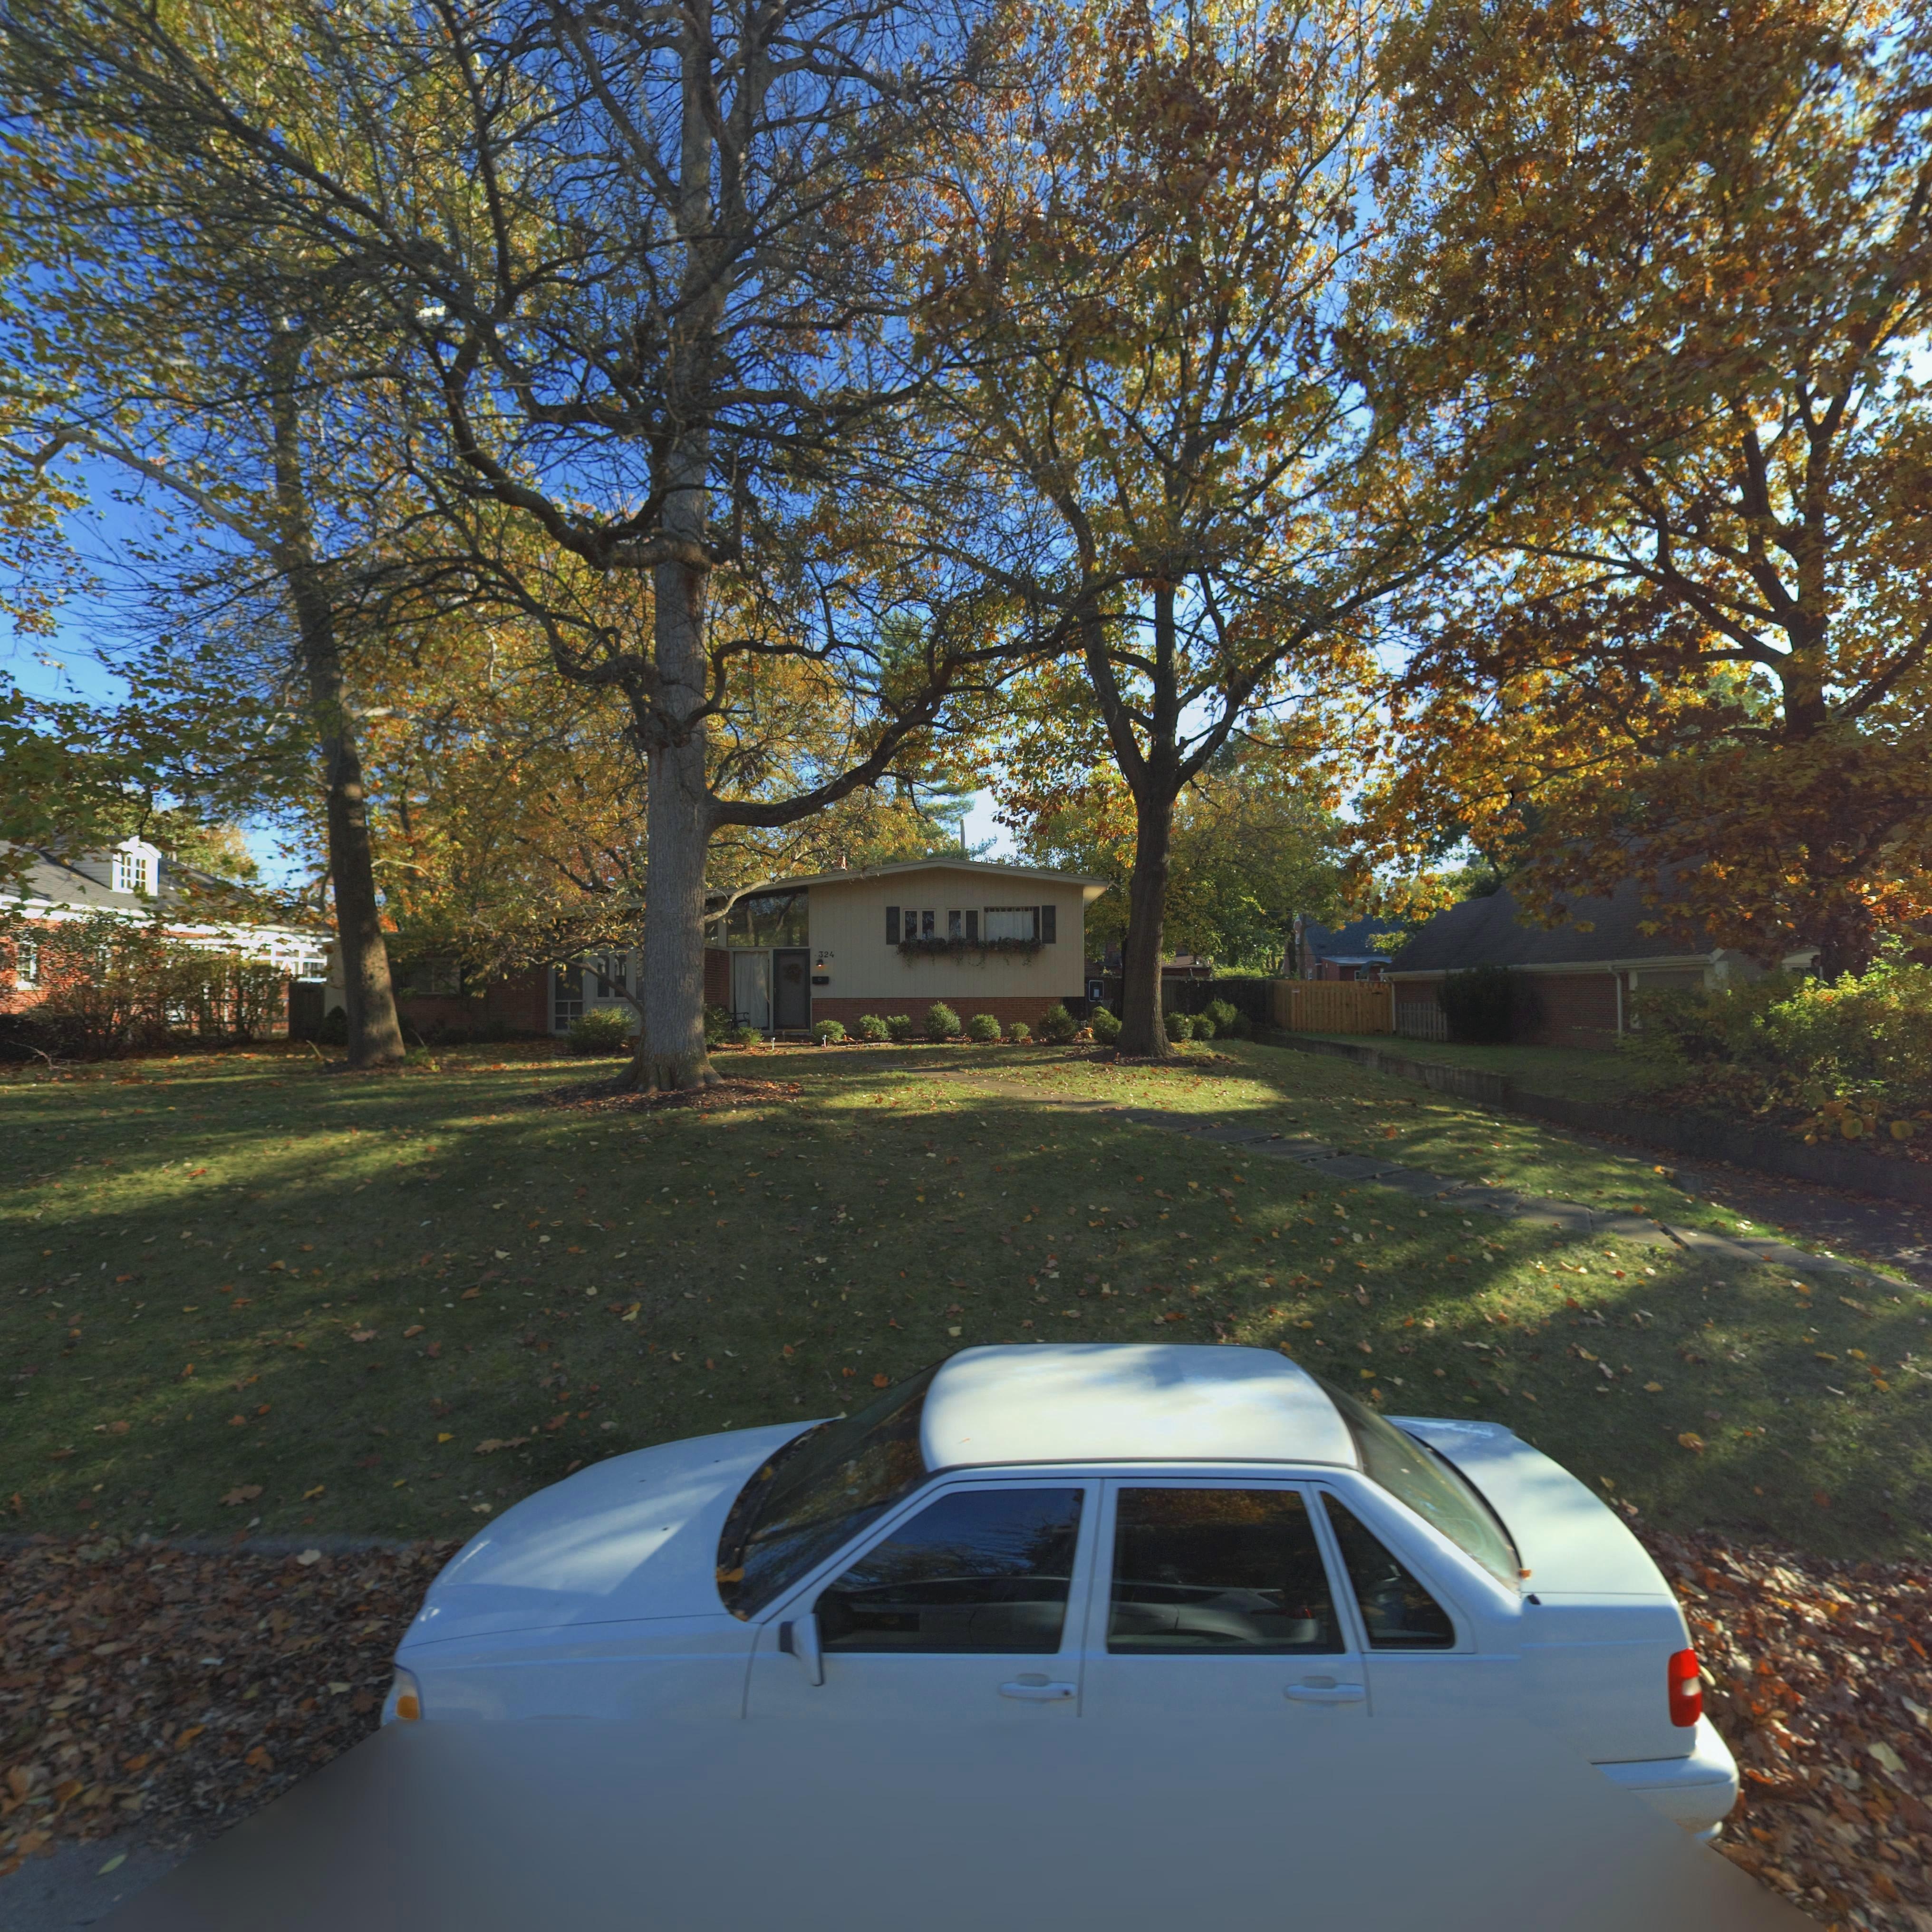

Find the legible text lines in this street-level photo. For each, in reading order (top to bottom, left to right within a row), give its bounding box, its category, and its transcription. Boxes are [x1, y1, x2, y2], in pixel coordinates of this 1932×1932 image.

[818, 950, 835, 958] StreetNumber: 324